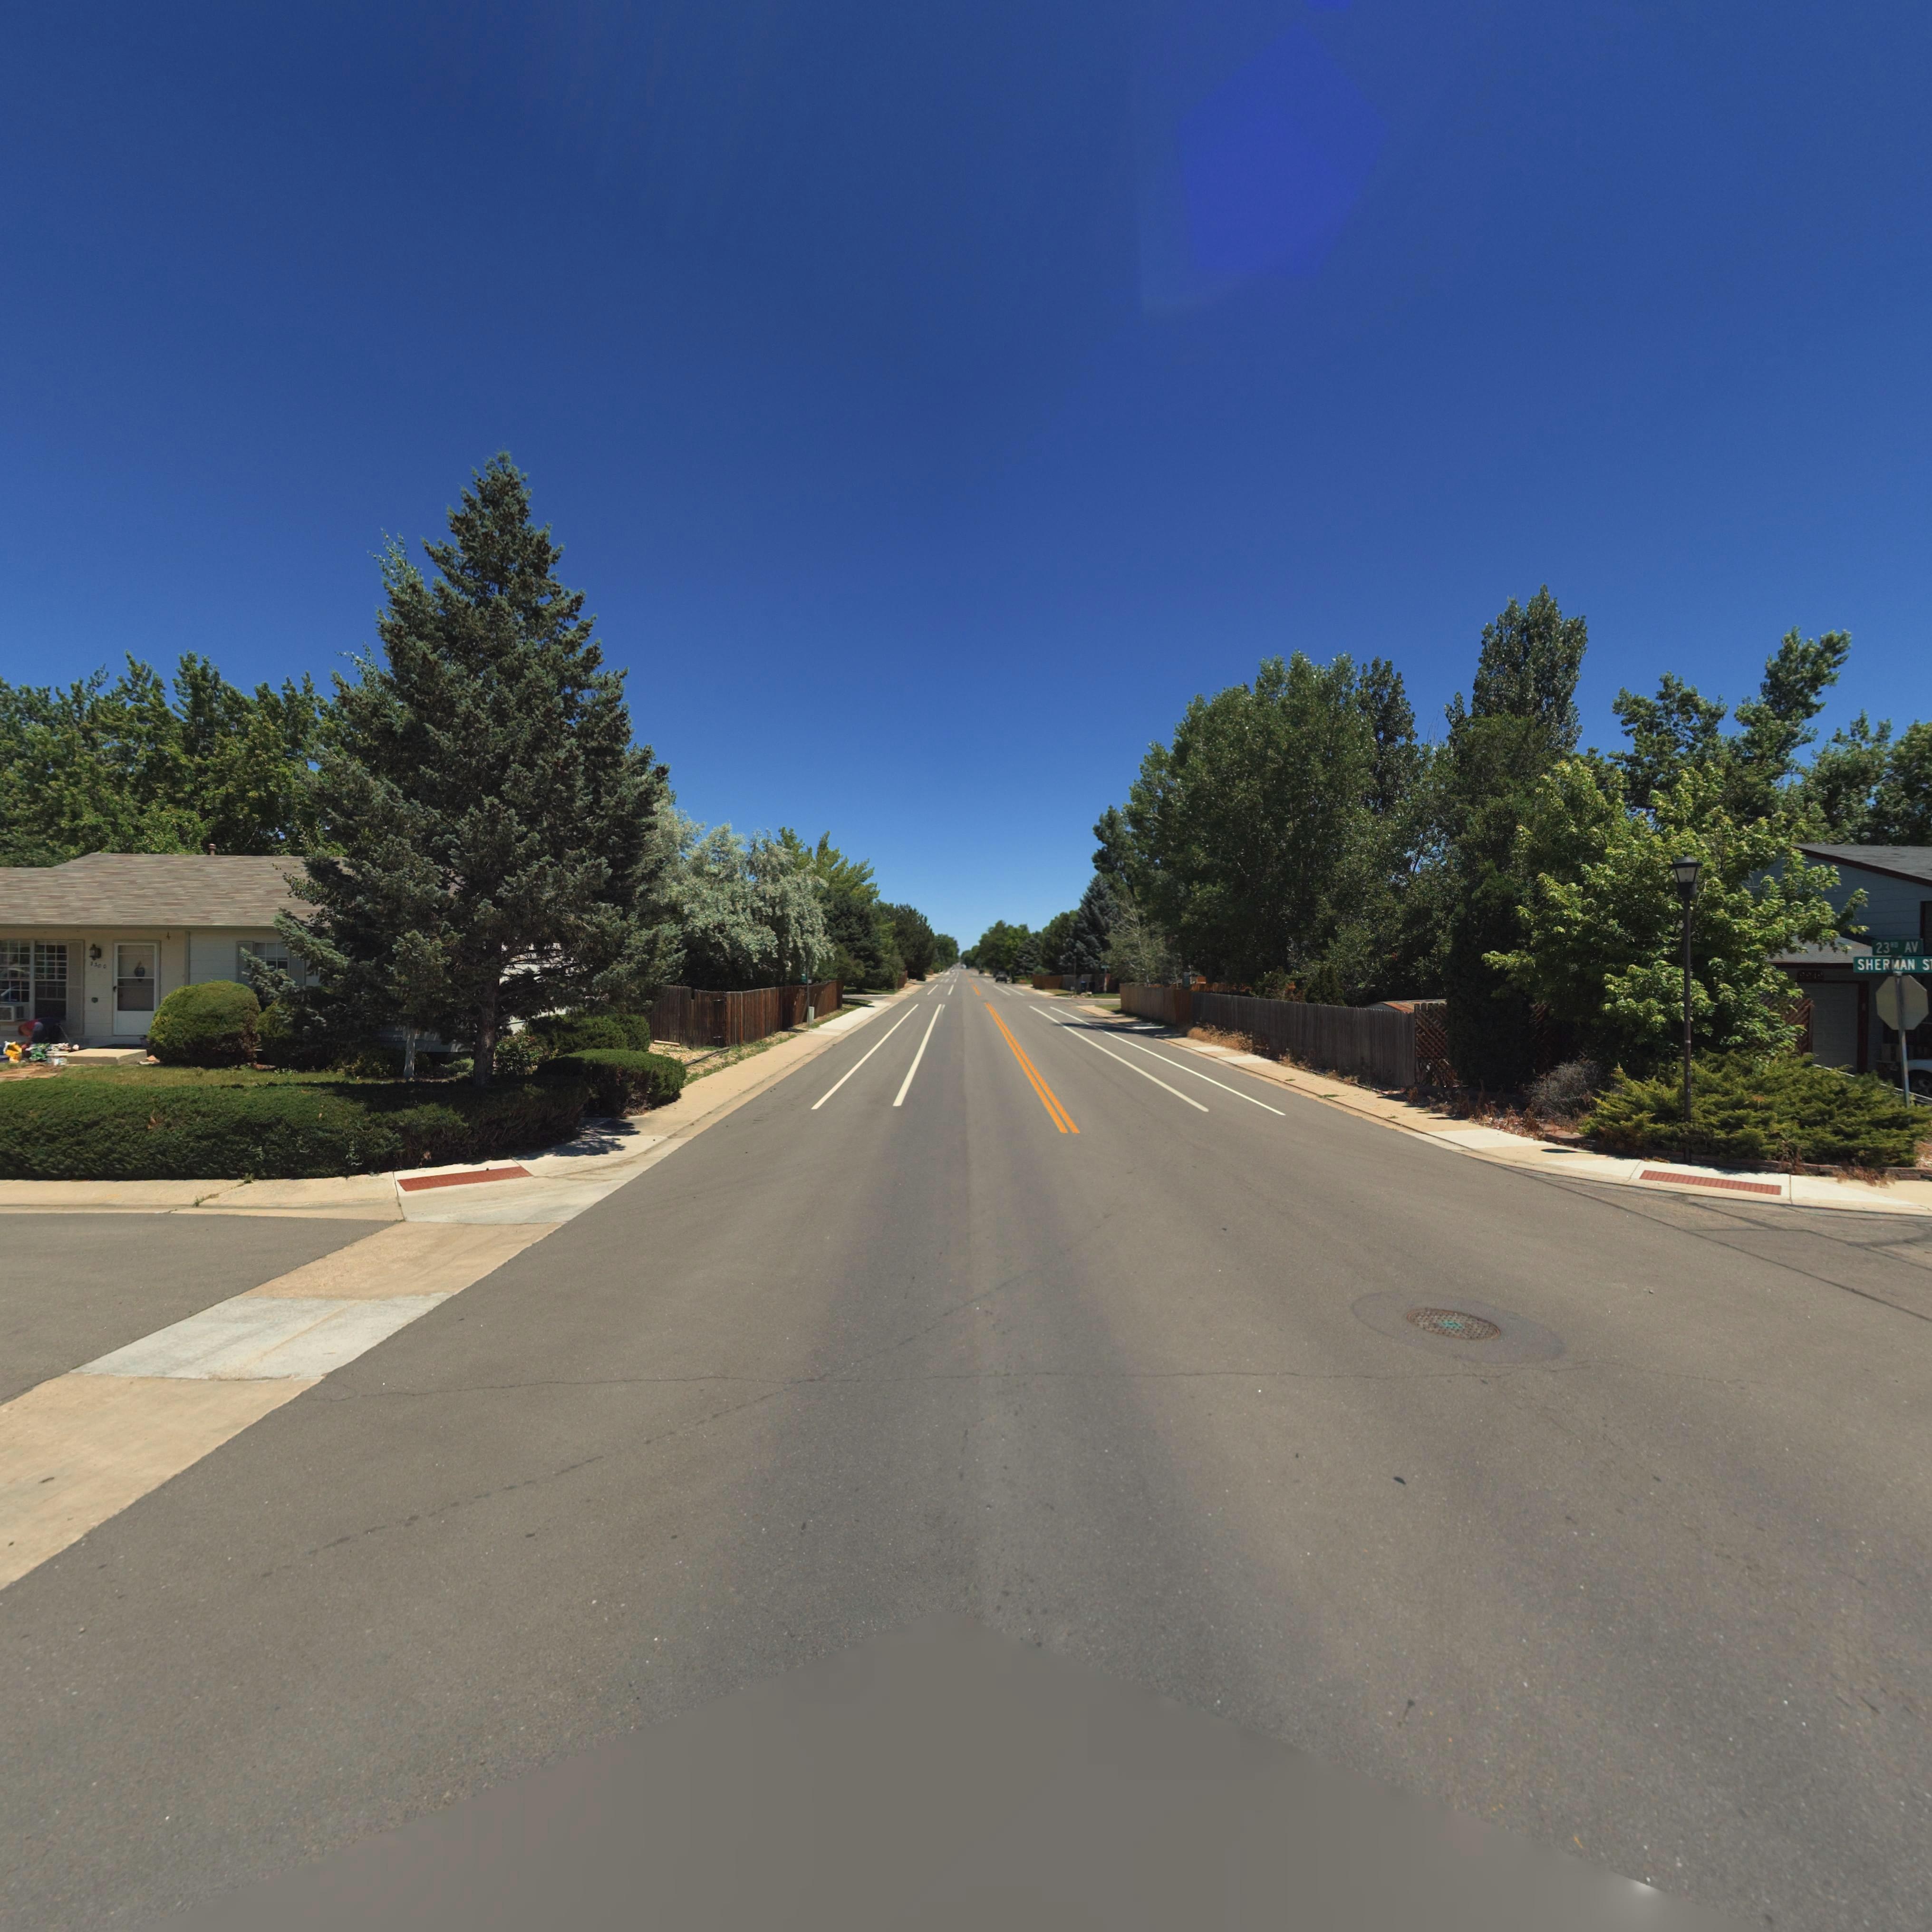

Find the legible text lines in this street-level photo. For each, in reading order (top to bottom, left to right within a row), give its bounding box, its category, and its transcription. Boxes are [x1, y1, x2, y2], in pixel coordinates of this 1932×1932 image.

[1875, 941, 1919, 954] StreetName: 23RD AV
[89, 961, 107, 969] StreetNumber: 2300
[1857, 958, 1930, 971] StreetName: SHERMAN S
[1799, 971, 1823, 980] StreetNumber: 2212